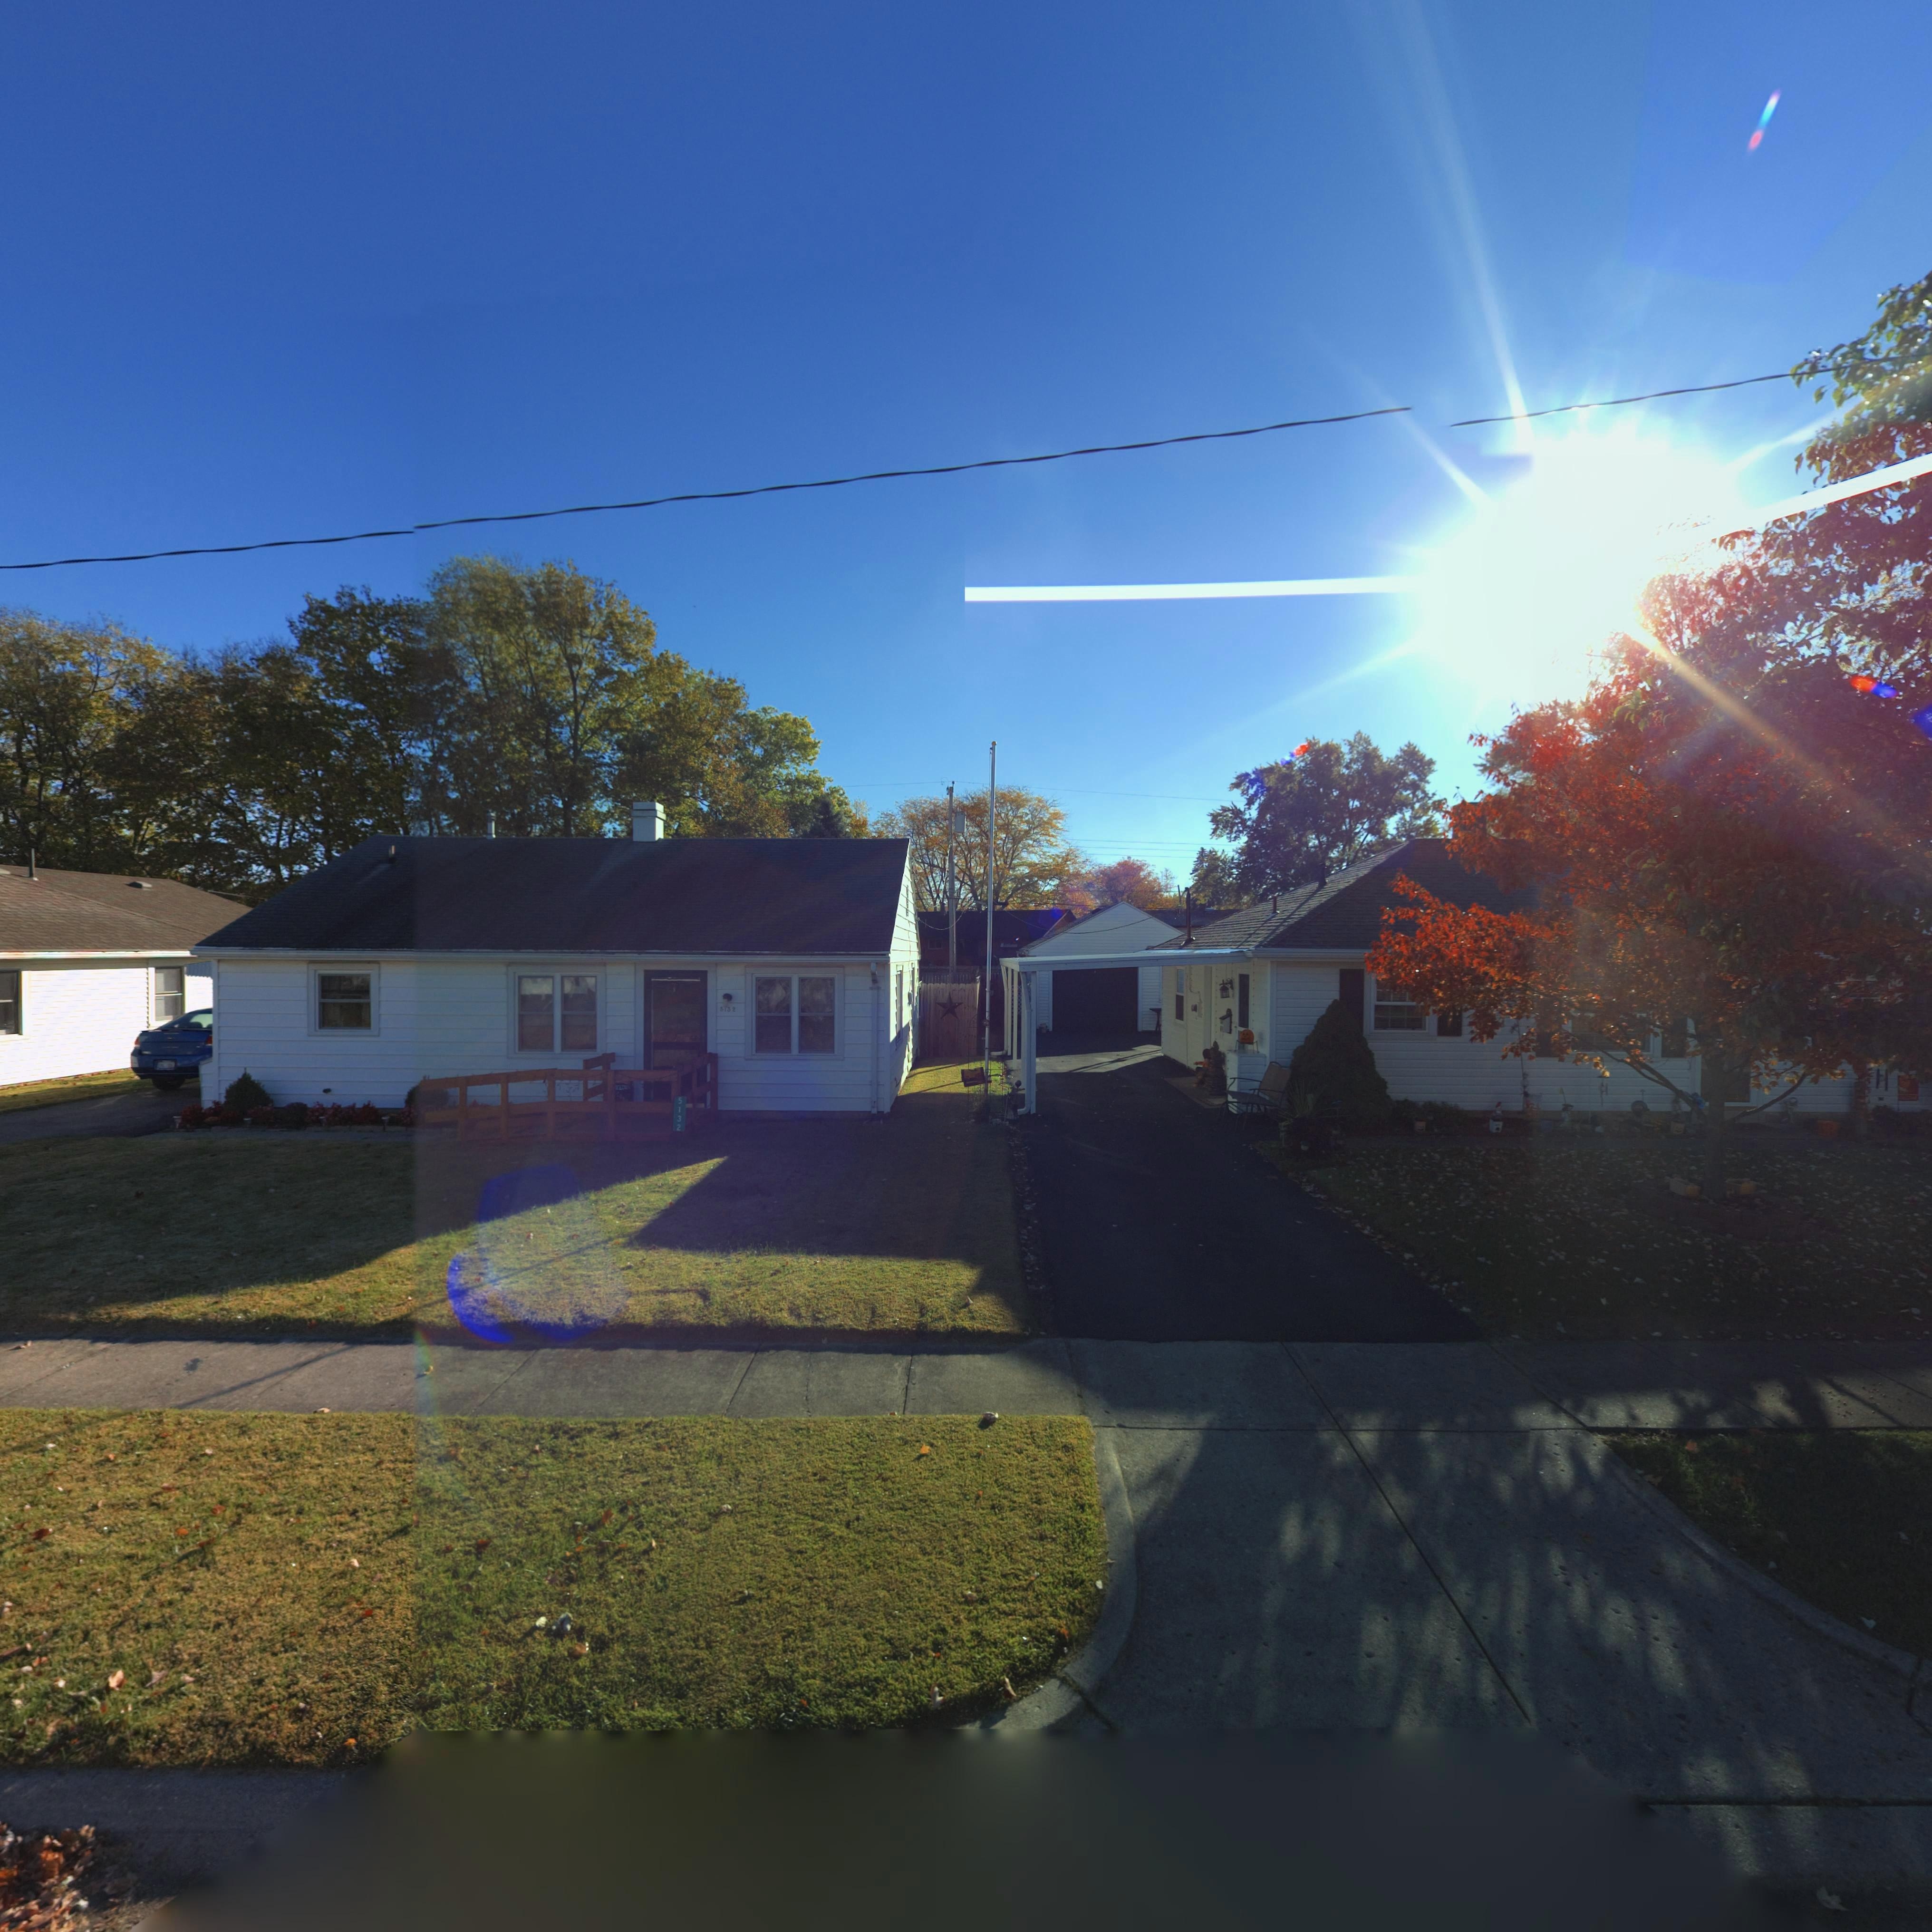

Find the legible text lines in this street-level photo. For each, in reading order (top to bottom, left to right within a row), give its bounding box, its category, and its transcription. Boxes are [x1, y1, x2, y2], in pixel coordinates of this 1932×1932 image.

[719, 1006, 736, 1012] StreetNumber: *132
[676, 1096, 683, 1131] StreetNumber: 5132